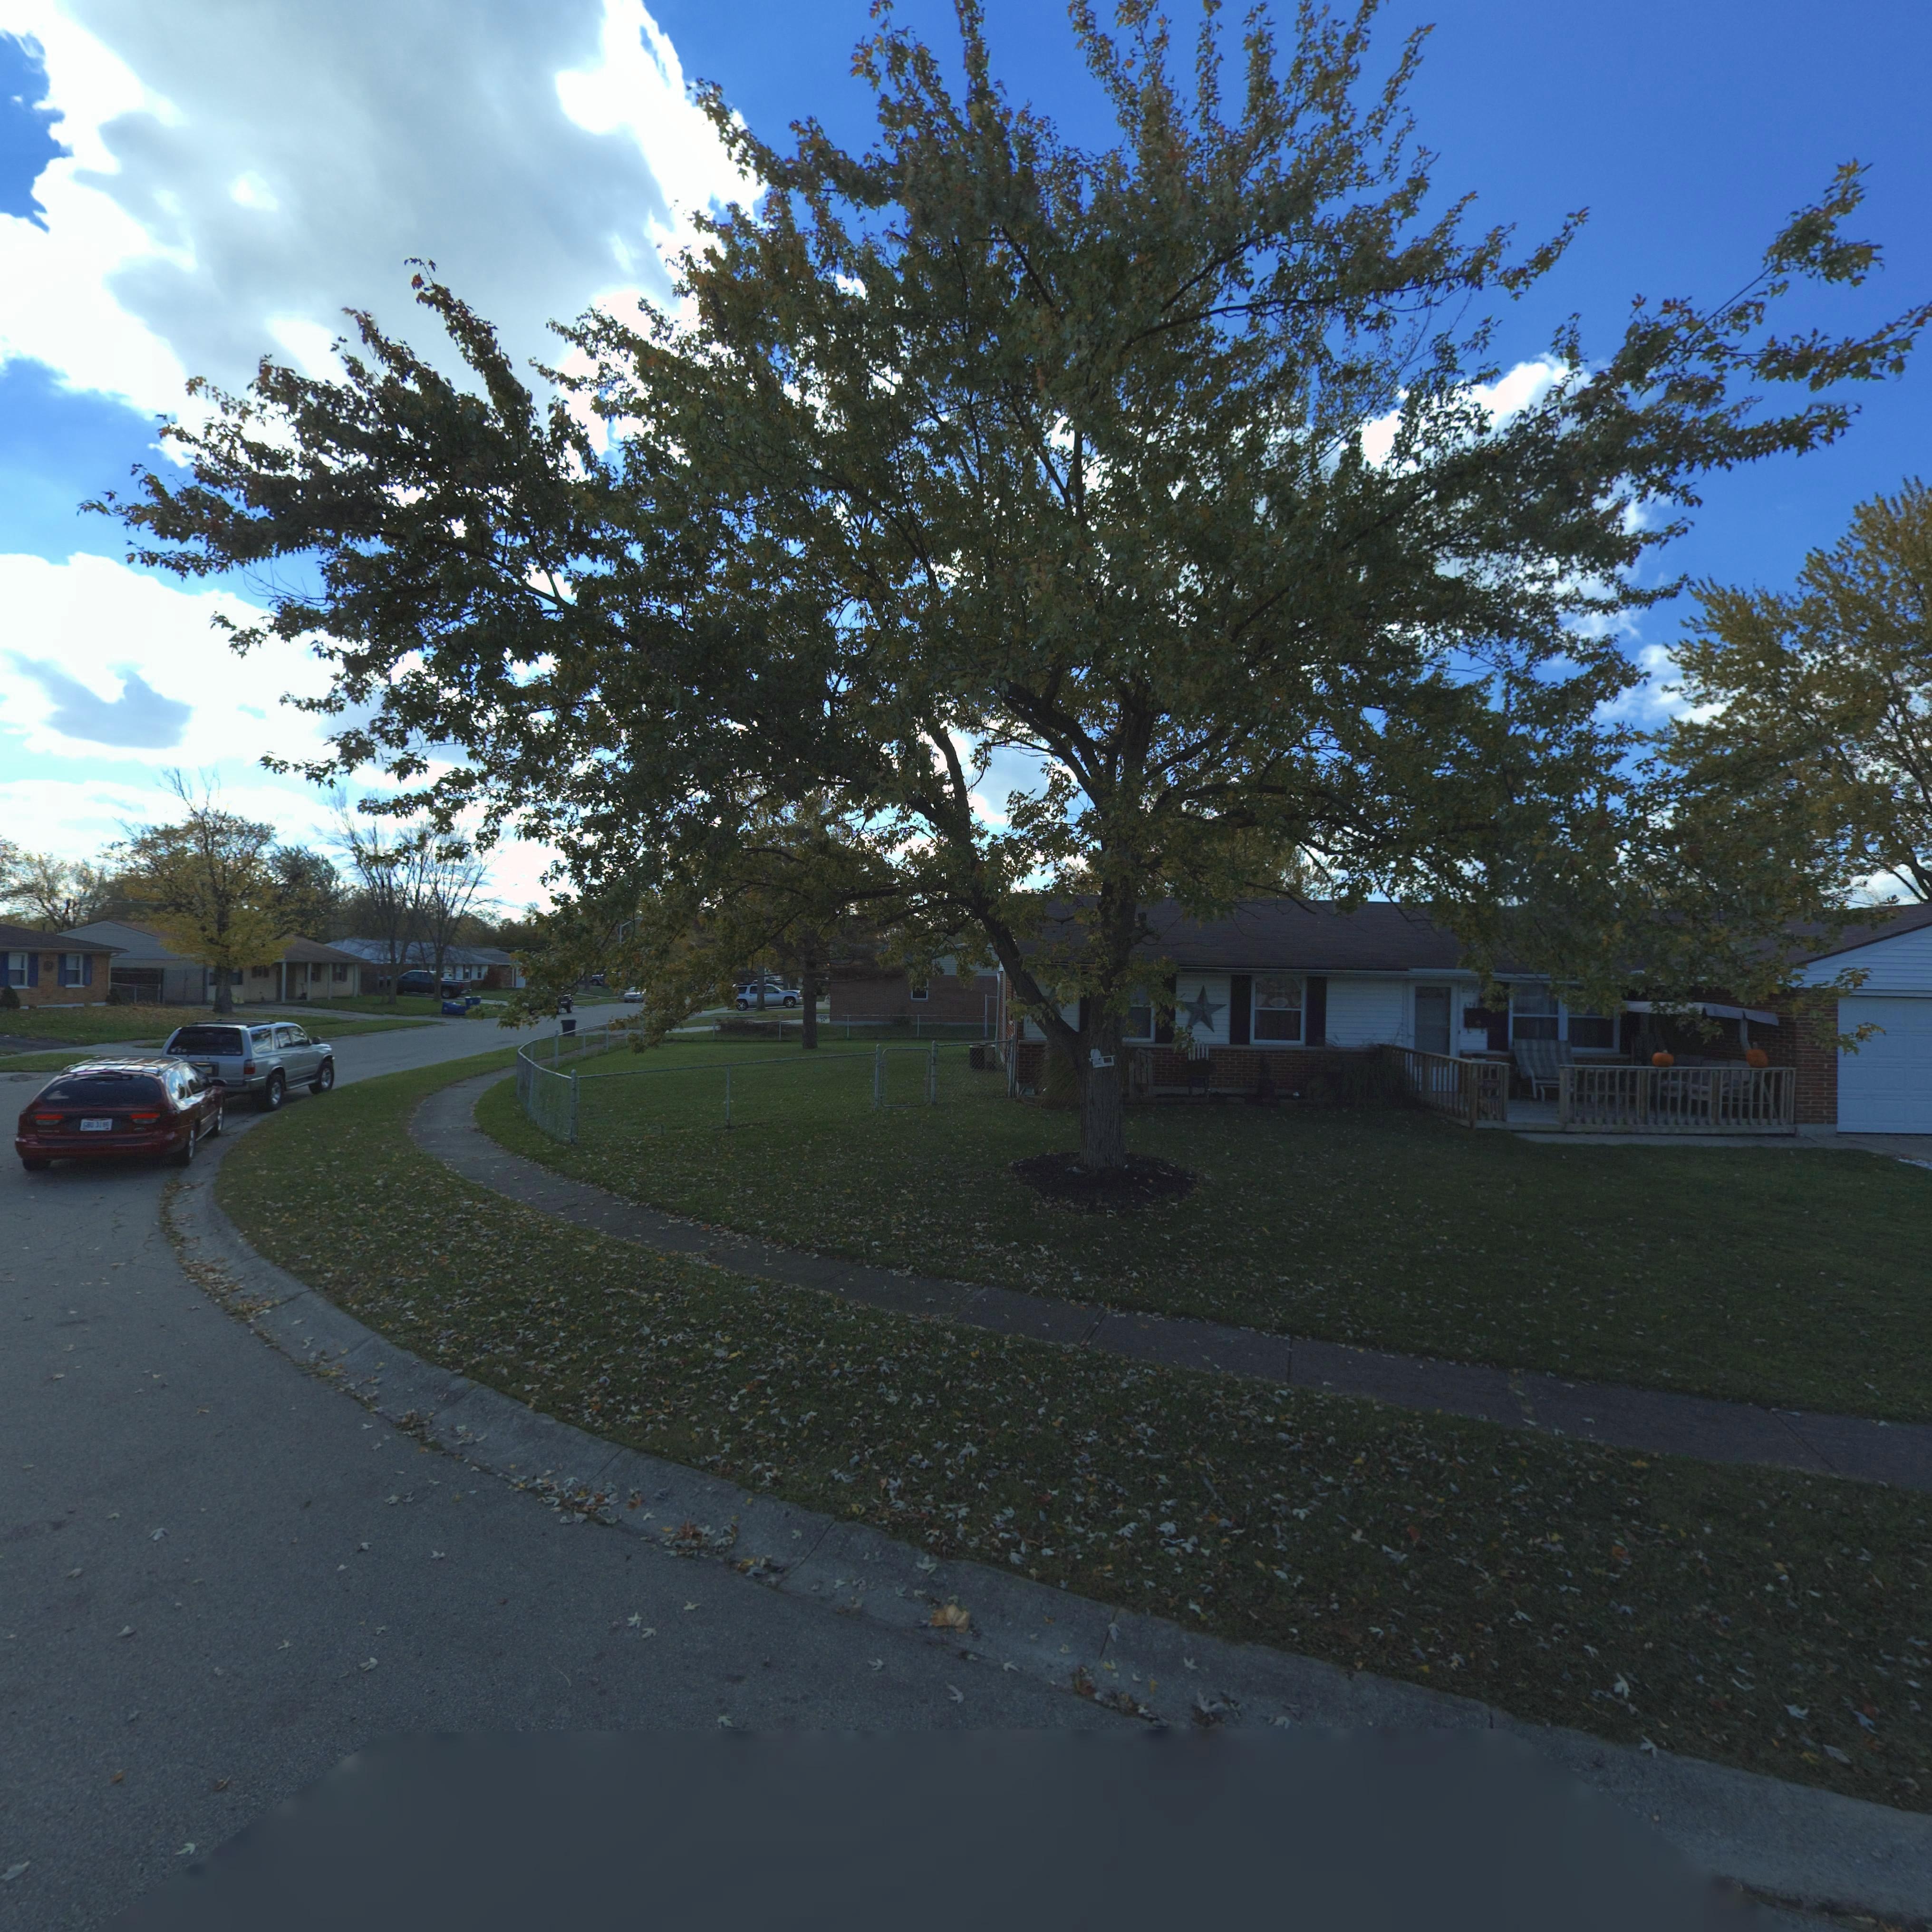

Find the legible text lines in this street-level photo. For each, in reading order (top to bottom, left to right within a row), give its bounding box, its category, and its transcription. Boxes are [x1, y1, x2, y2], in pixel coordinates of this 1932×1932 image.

[1462, 1001, 1476, 1009] StreetNumber: 678